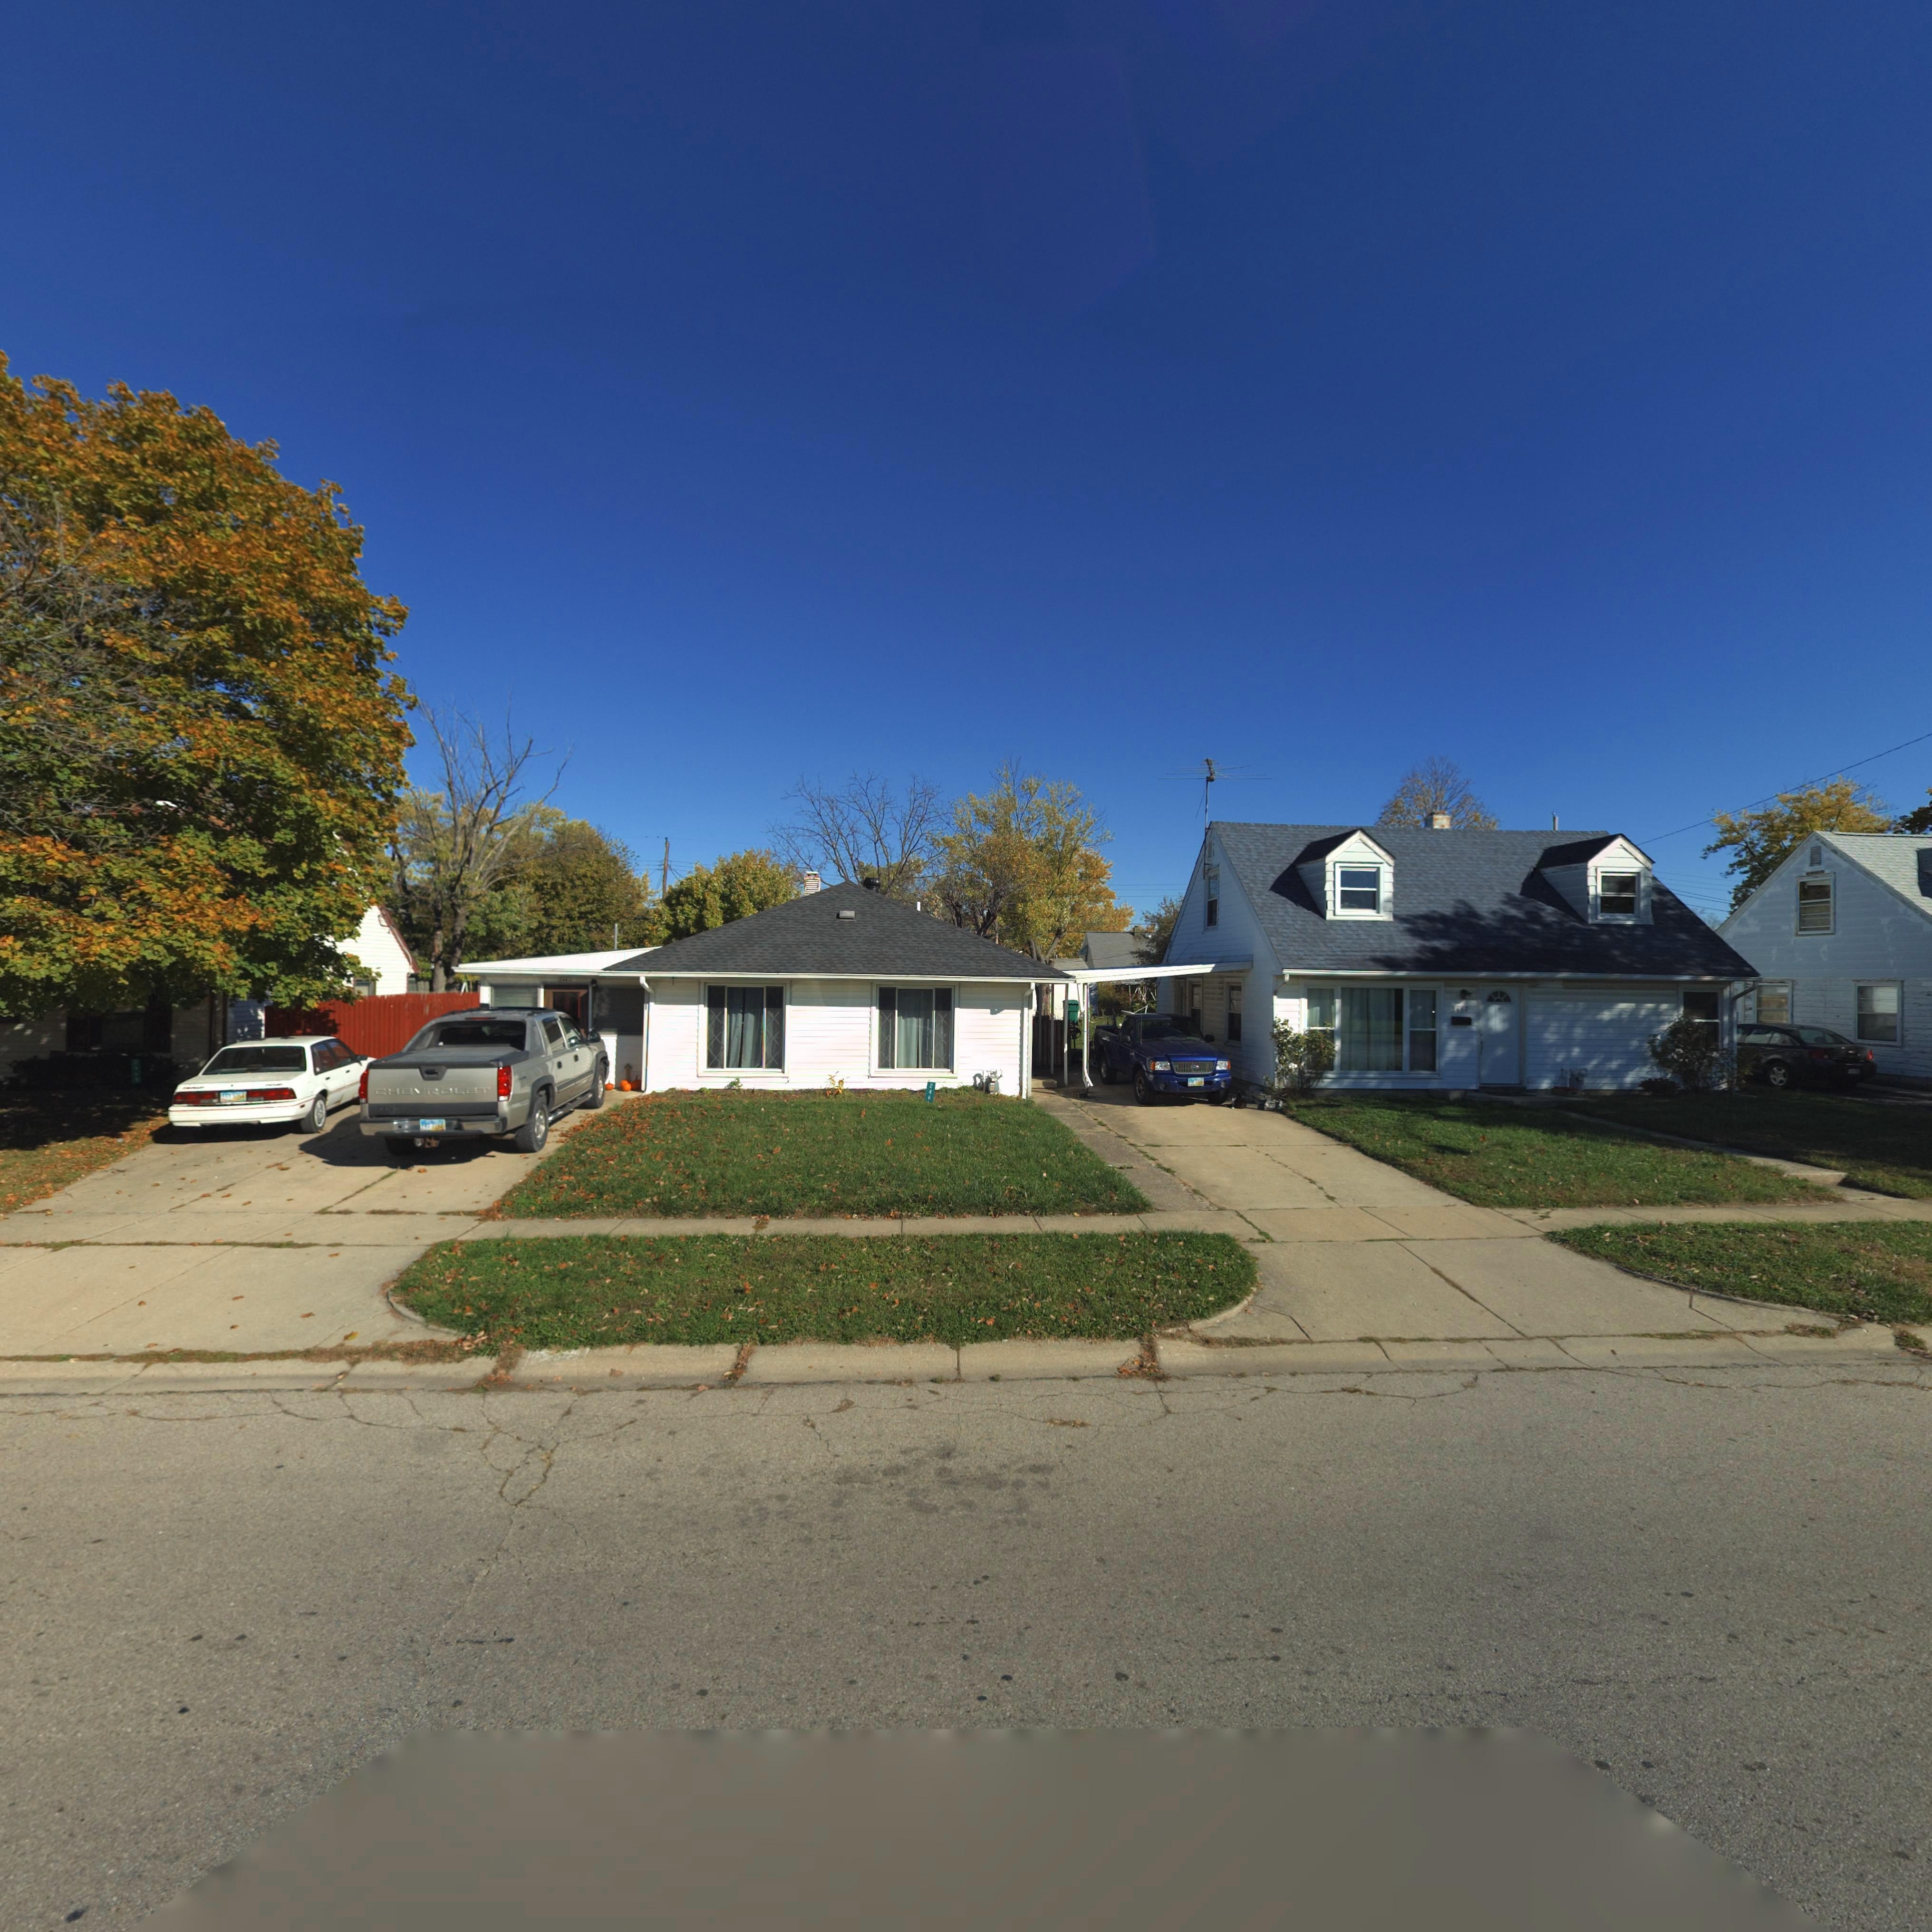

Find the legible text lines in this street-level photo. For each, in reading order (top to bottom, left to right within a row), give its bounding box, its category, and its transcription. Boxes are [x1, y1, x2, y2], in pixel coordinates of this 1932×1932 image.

[1450, 1005, 1469, 1014] StreetNumber: 2*57
[374, 1086, 493, 1096] None: CHEVROLET
[926, 1082, 935, 1101] StreetNumber: 246
[420, 1121, 435, 1130] None: F***7